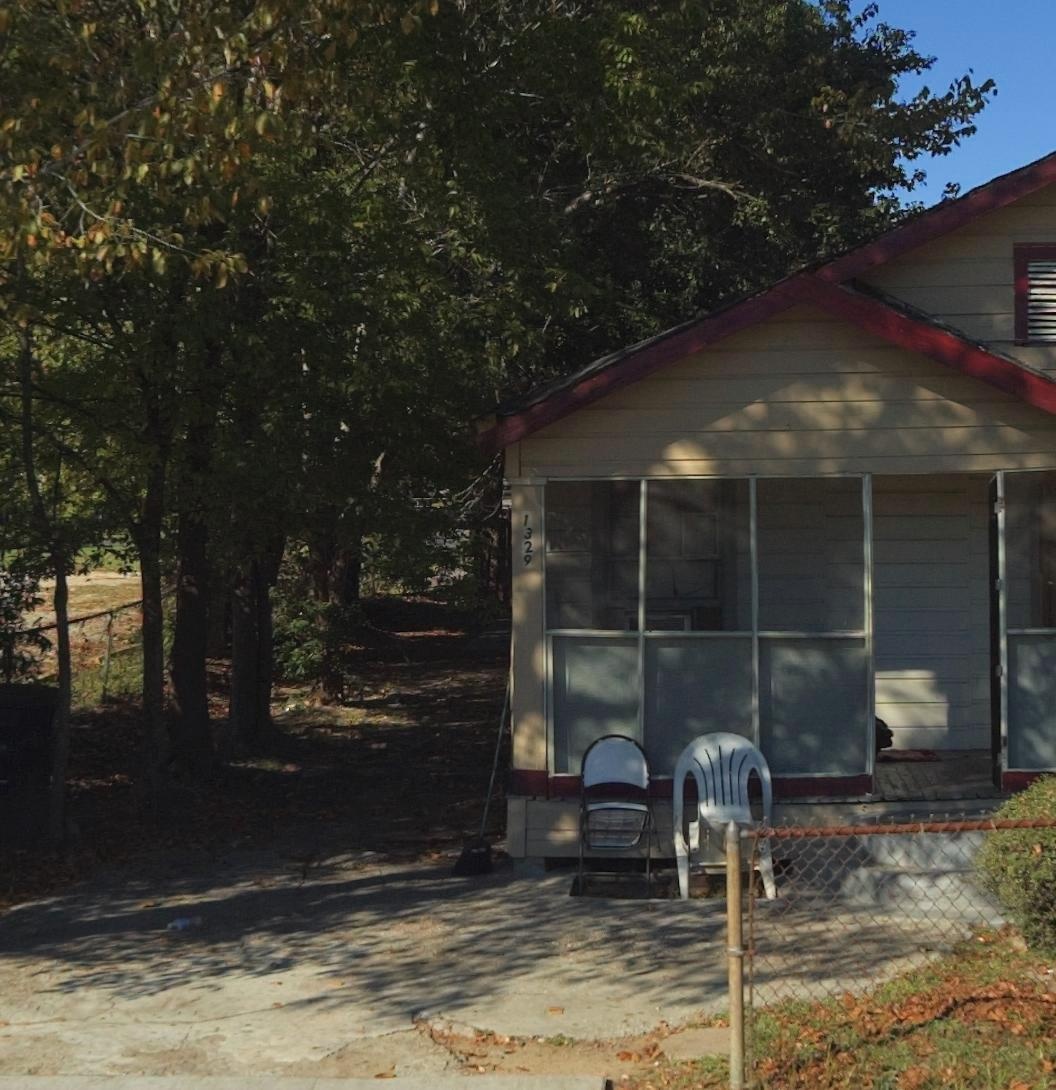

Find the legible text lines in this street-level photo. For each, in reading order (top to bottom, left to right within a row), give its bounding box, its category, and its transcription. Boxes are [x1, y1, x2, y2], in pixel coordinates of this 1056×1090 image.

[521, 511, 536, 568] StreetNumber: 1329